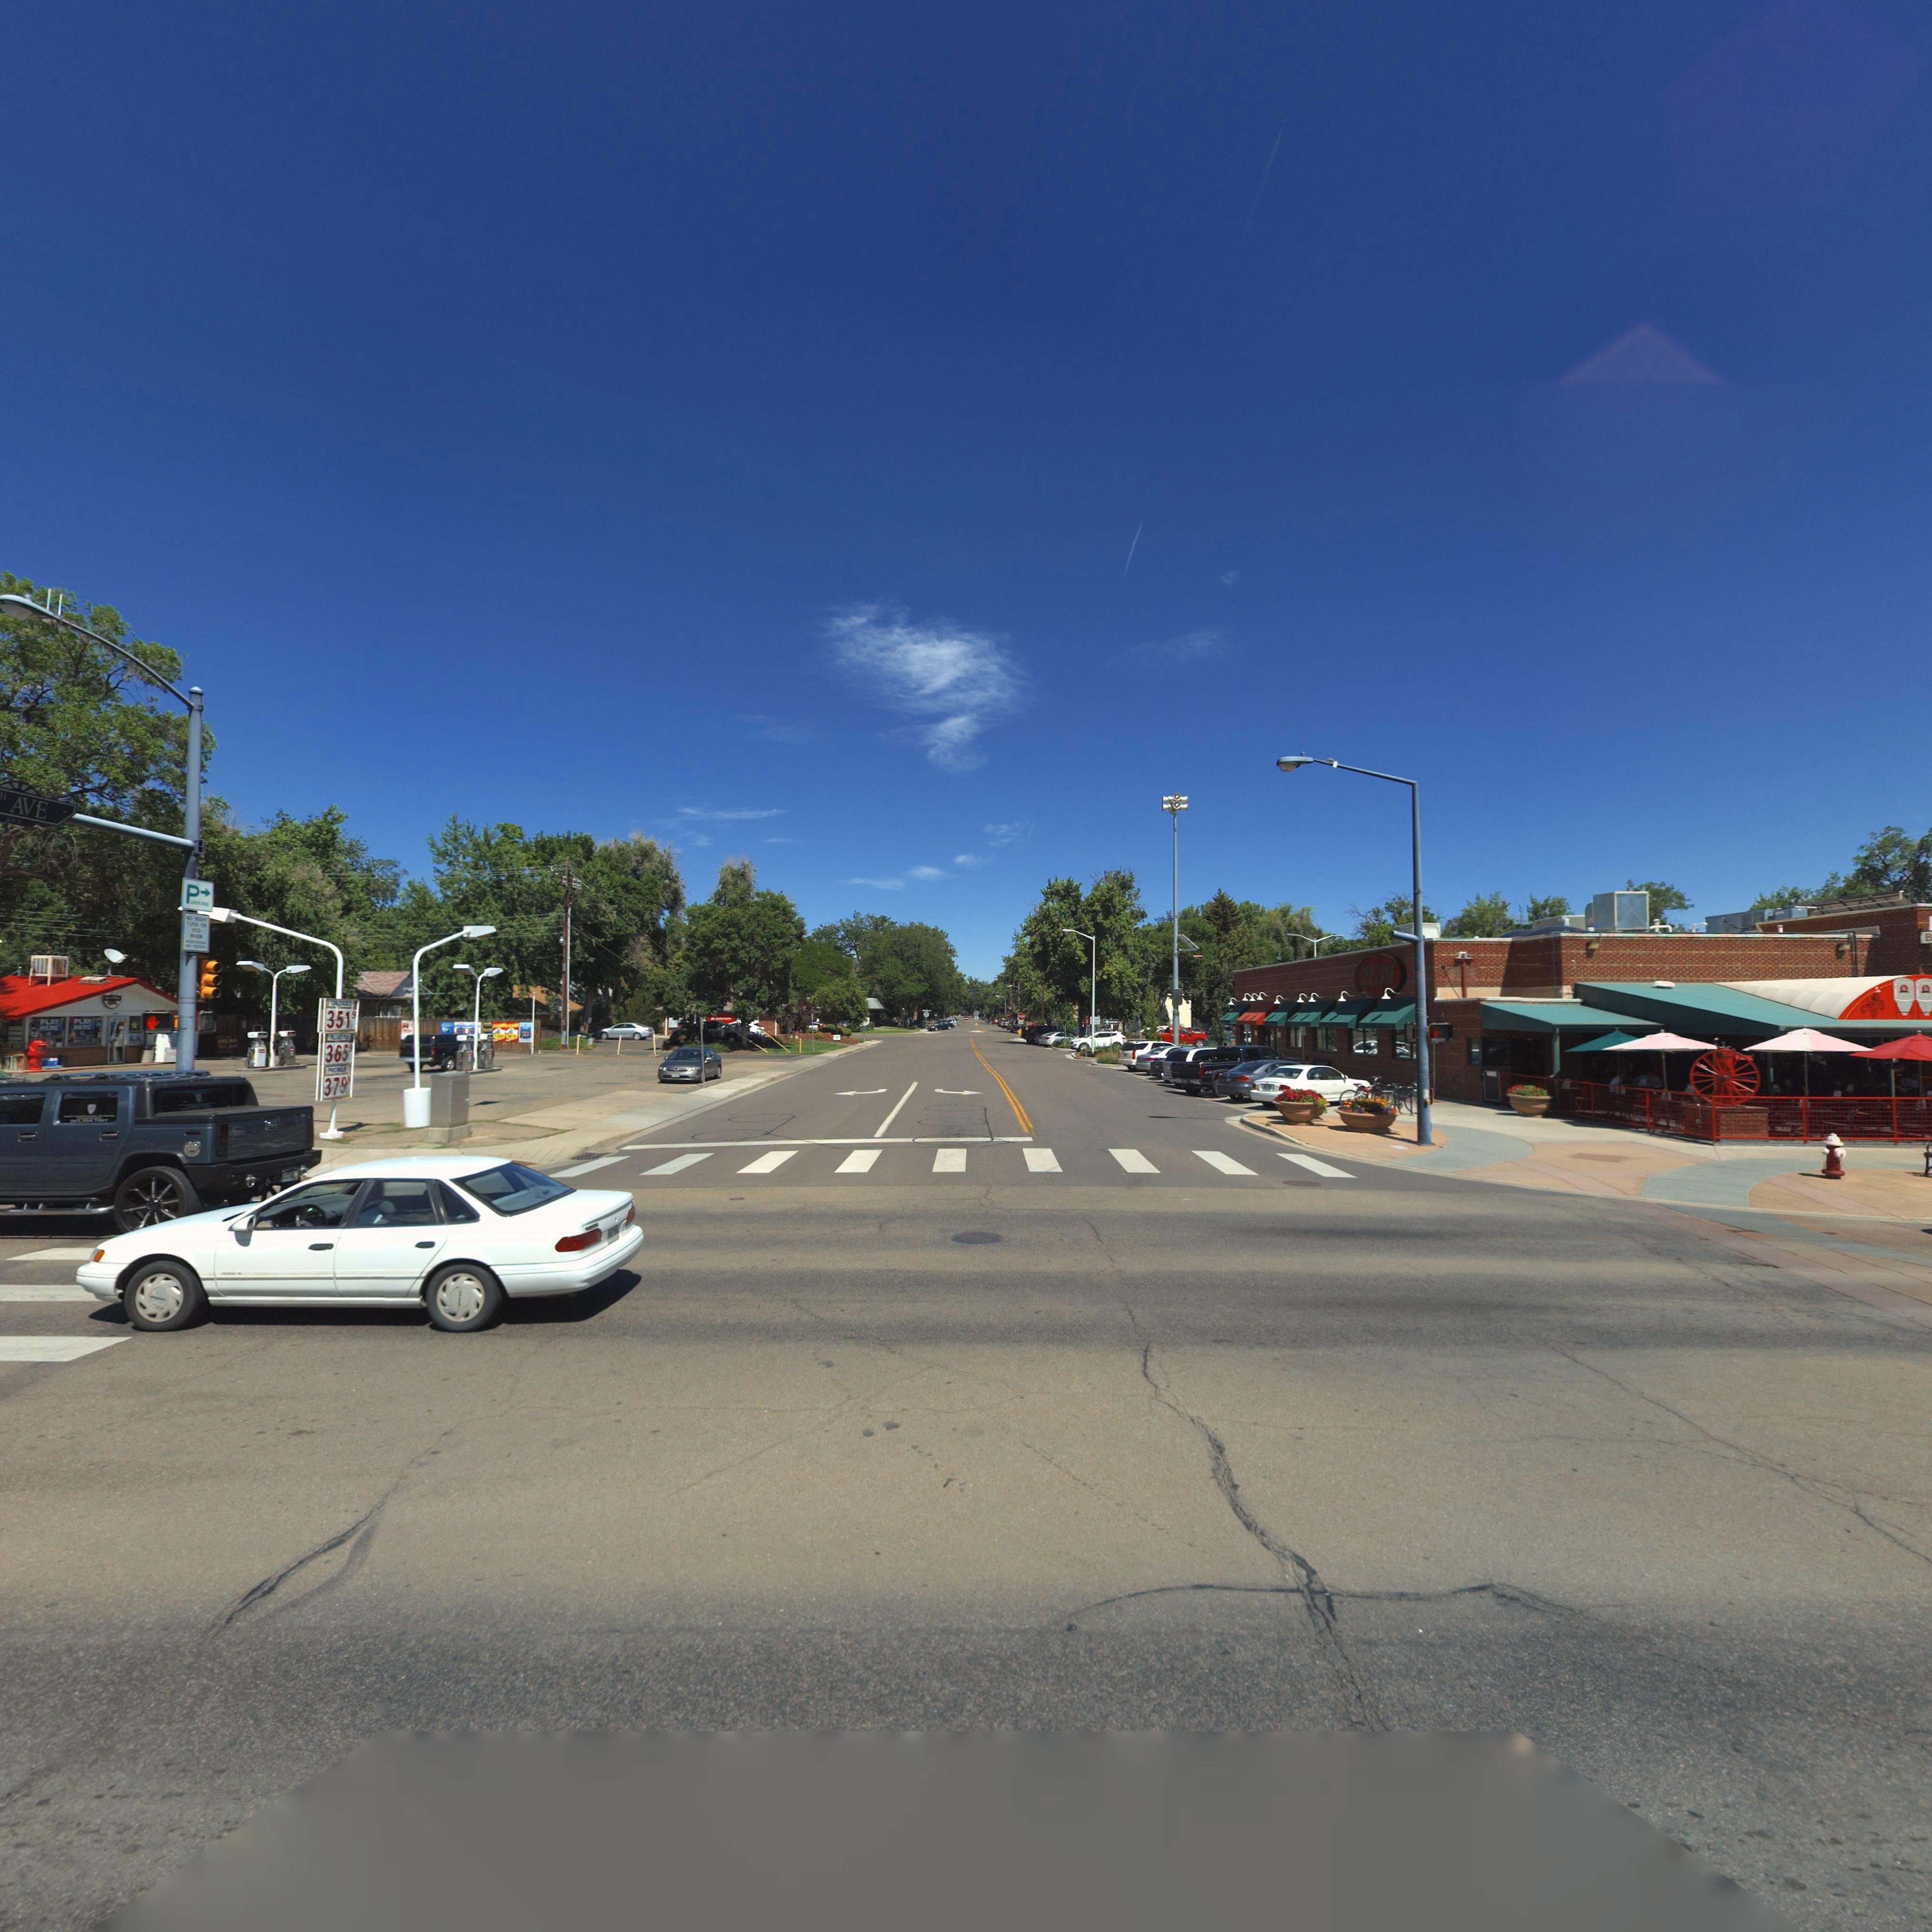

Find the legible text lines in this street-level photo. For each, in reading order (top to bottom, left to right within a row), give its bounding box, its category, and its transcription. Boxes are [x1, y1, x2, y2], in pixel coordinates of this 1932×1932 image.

[9, 796, 48, 819] StreetName: AVE
[6, 816, 21, 824] StreetNumberRange: 6**
[1361, 963, 1395, 986] BusinessName: *ED ZONE